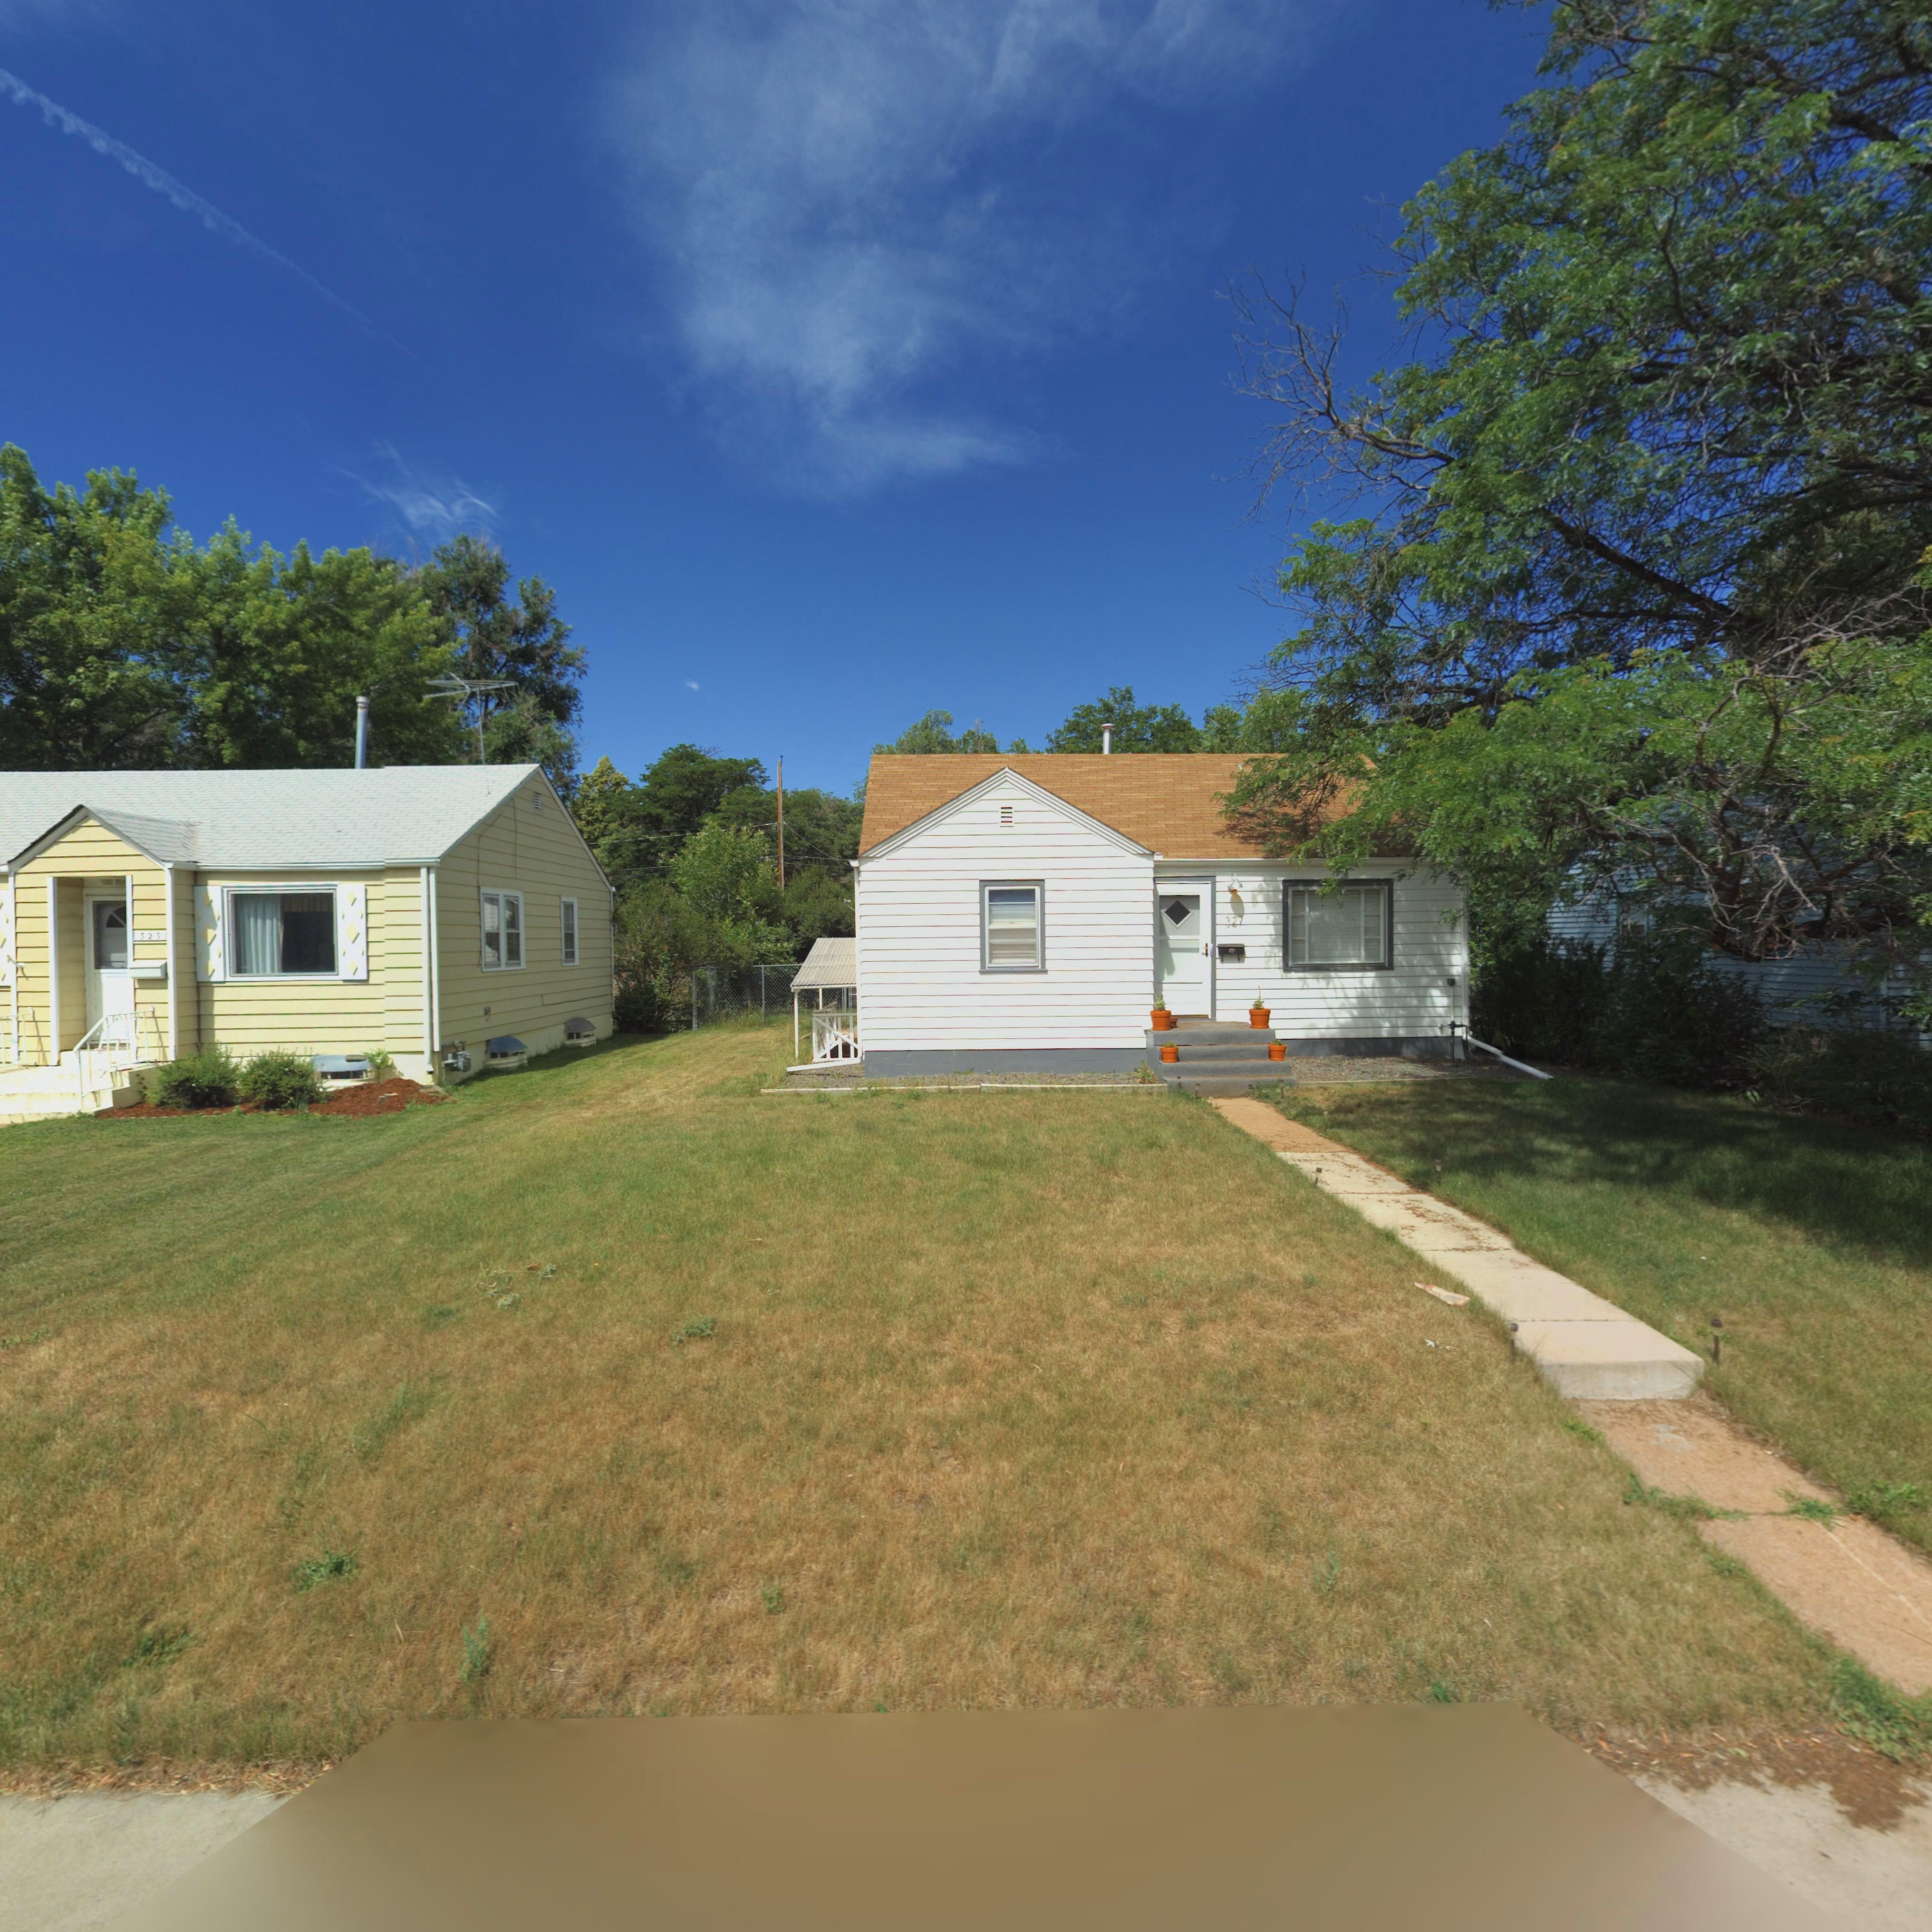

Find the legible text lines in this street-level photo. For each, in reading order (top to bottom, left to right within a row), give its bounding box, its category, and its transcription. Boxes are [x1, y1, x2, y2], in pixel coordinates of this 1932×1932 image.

[1224, 915, 1244, 928] StreetNumber: 327
[140, 932, 160, 940] StreetNumber: 325